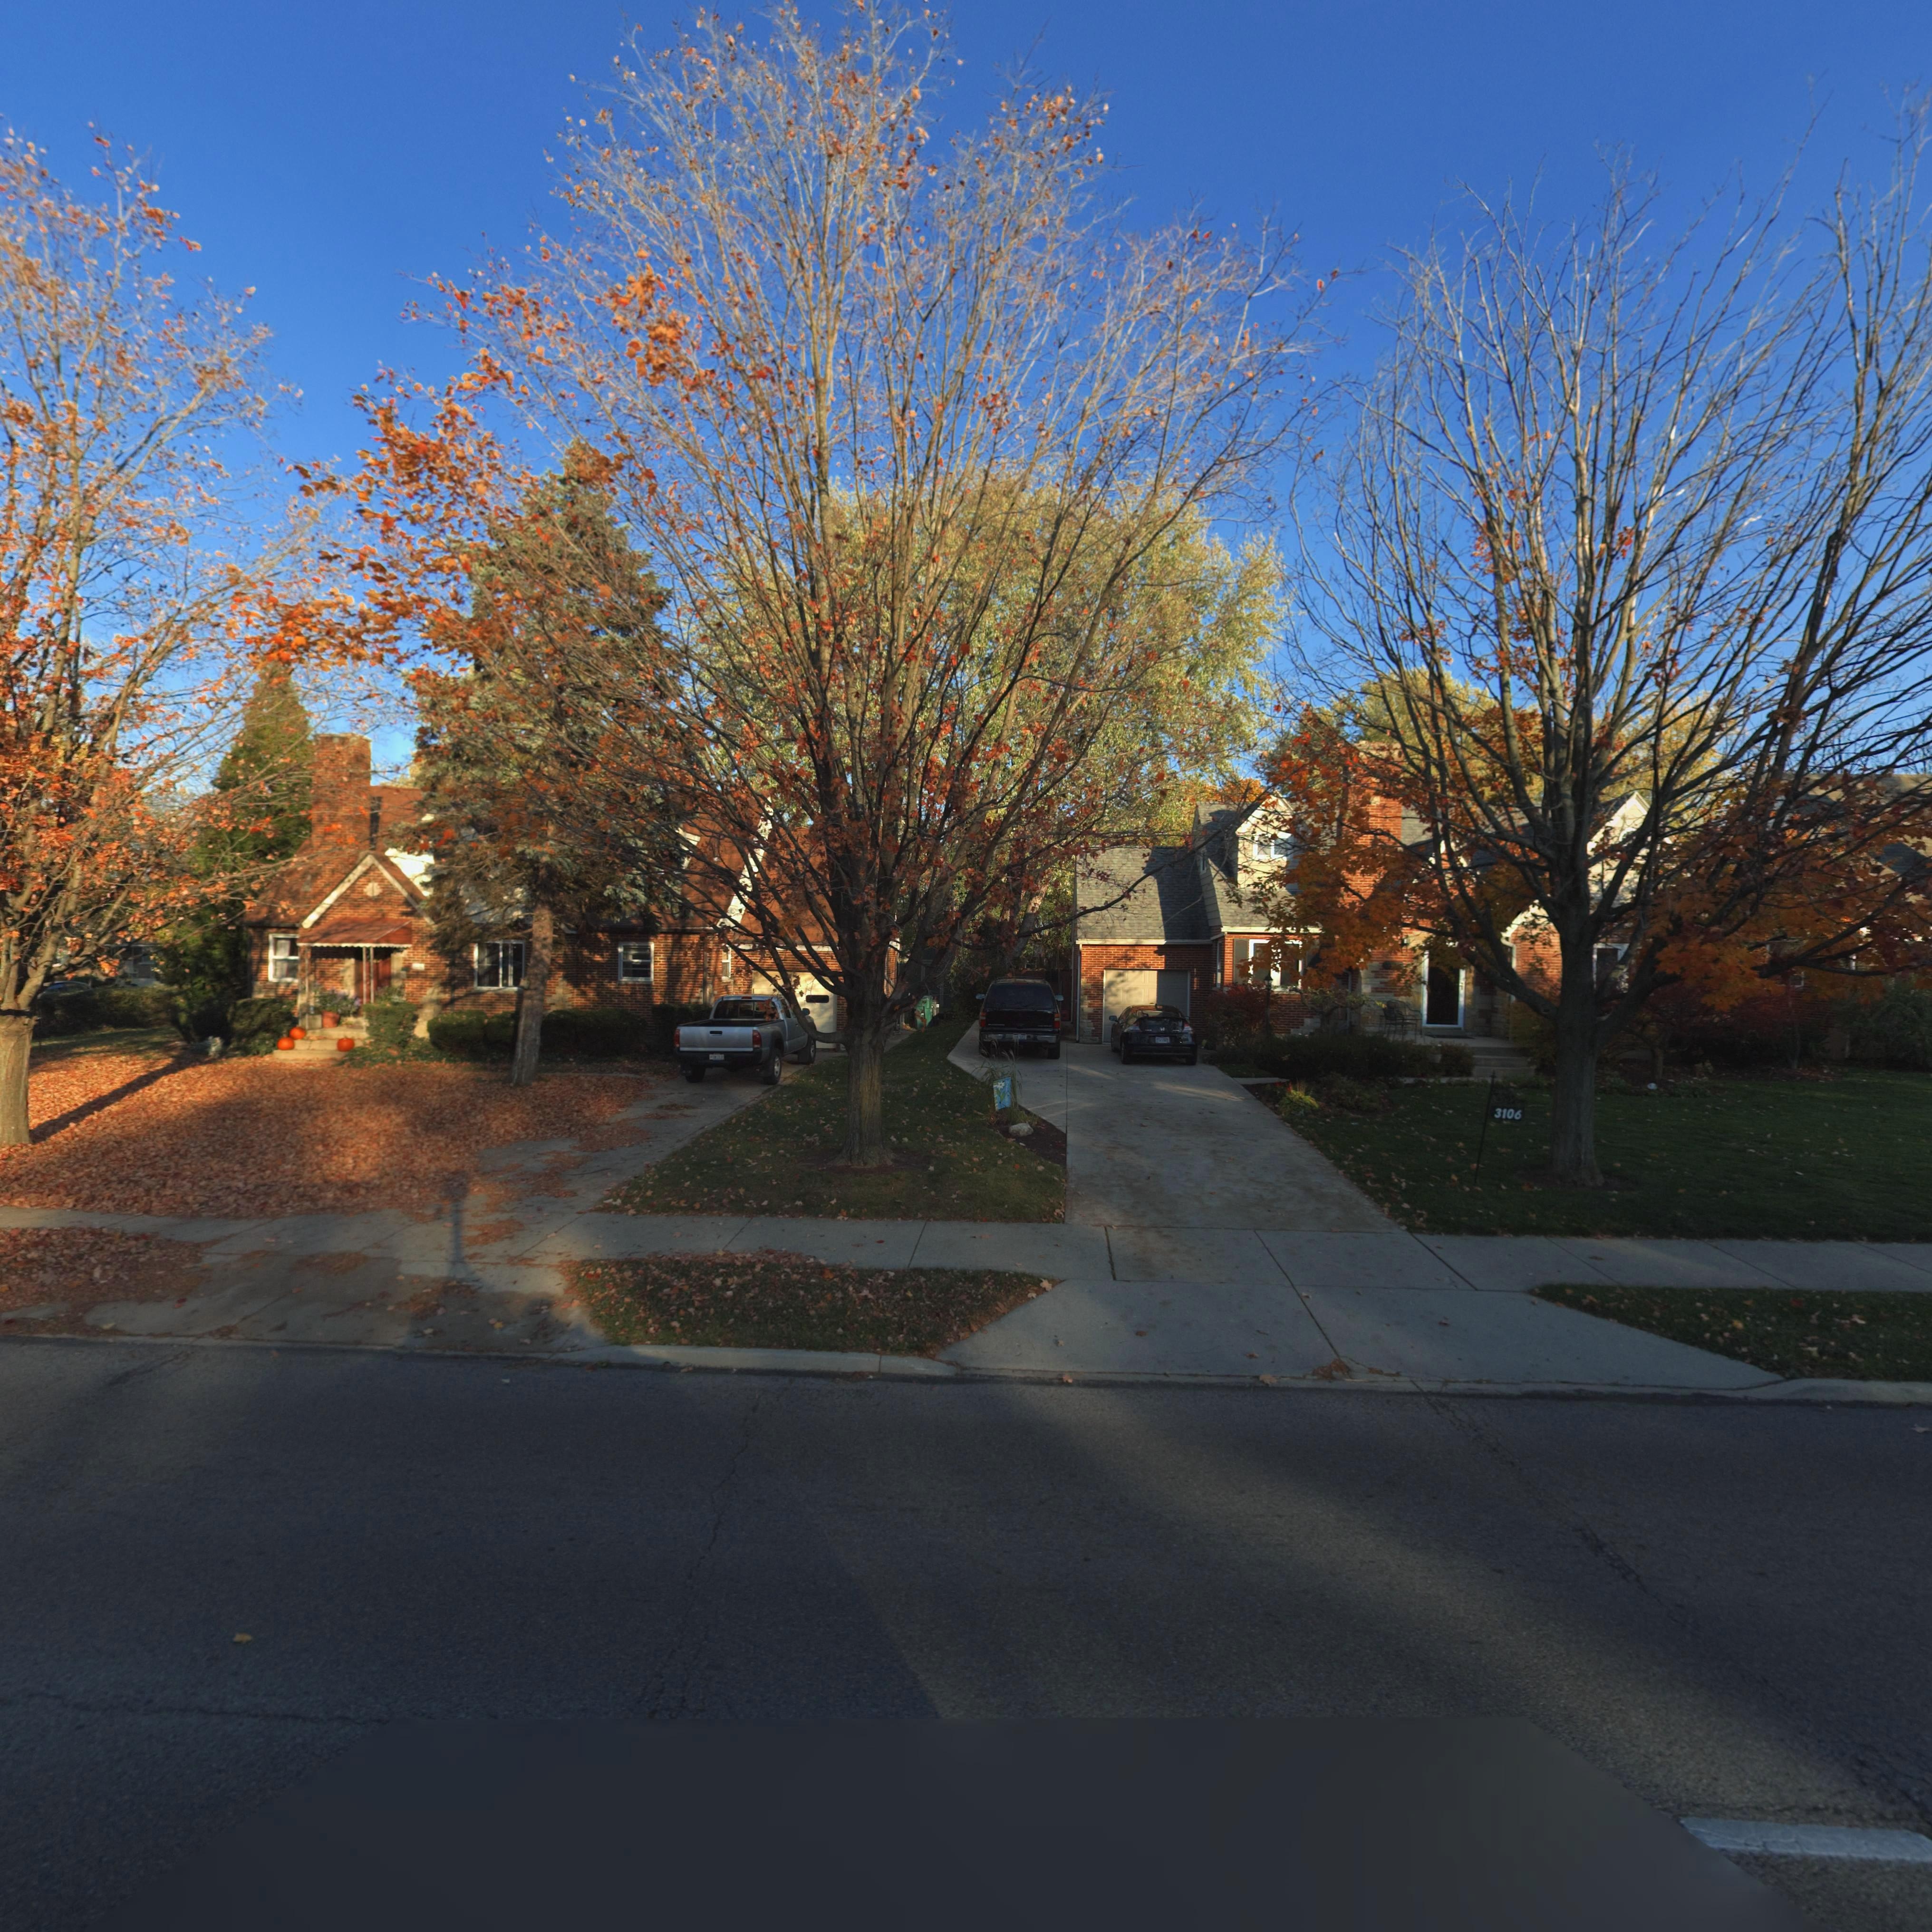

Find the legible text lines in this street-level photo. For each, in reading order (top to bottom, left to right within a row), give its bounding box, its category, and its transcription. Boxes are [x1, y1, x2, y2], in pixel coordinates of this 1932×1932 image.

[1493, 1106, 1523, 1121] StreetNumber: 3106